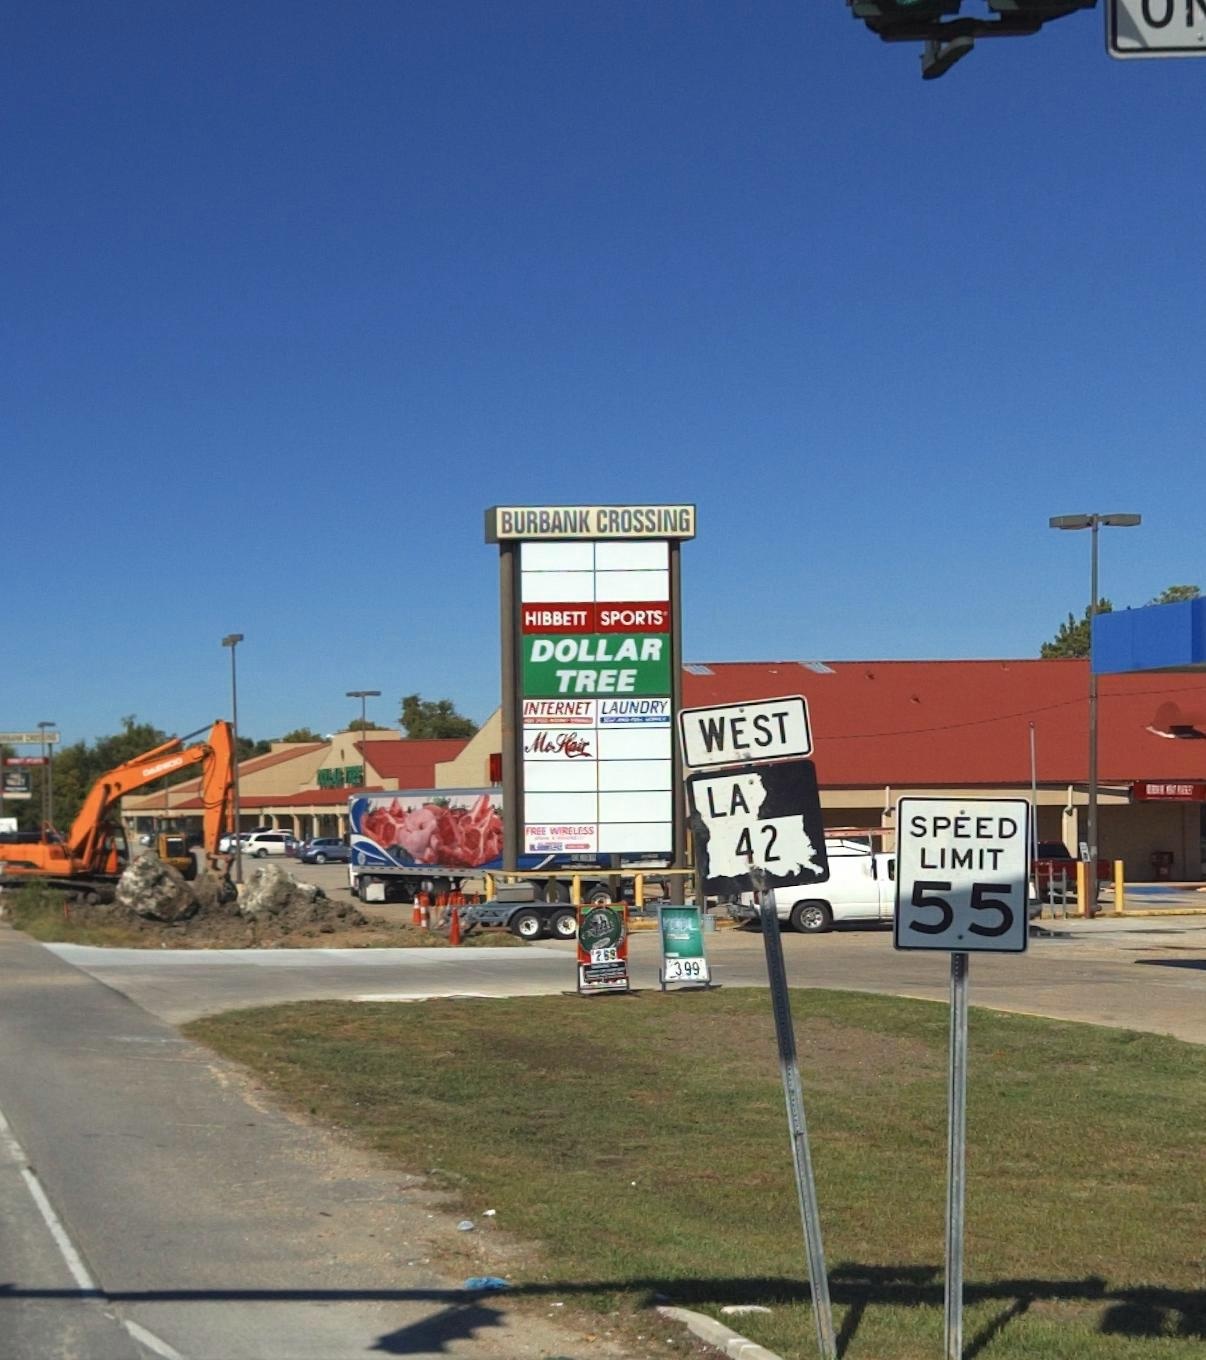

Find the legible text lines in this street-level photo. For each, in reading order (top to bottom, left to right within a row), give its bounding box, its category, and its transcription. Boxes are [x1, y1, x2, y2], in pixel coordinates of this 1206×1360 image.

[500, 508, 692, 535] BusinessName: BURBANK CROSSING
[524, 609, 664, 627] BusinessName: HIBBETT SPORTS
[529, 637, 664, 663] BusinessName: DOLLAR
[555, 668, 638, 693] BusinessName: TREE
[522, 700, 594, 716] None: INTERNET
[601, 700, 668, 715] None: LAUNDRY
[523, 730, 594, 758] BusinessName: Ms. Hair
[695, 710, 790, 754] None: WEST
[140, 754, 186, 780] None: DAEWOO
[706, 781, 752, 820] None: LA
[525, 825, 595, 837] None: FREE WIRELESS
[909, 814, 1019, 839] None: SPEED
[733, 823, 782, 866] None: 42
[919, 846, 1005, 871] None: LIMIT
[906, 879, 1015, 938] None: 55
[661, 915, 700, 932] None: KOOL
[595, 948, 617, 962] None: 269
[673, 959, 701, 977] None: 399